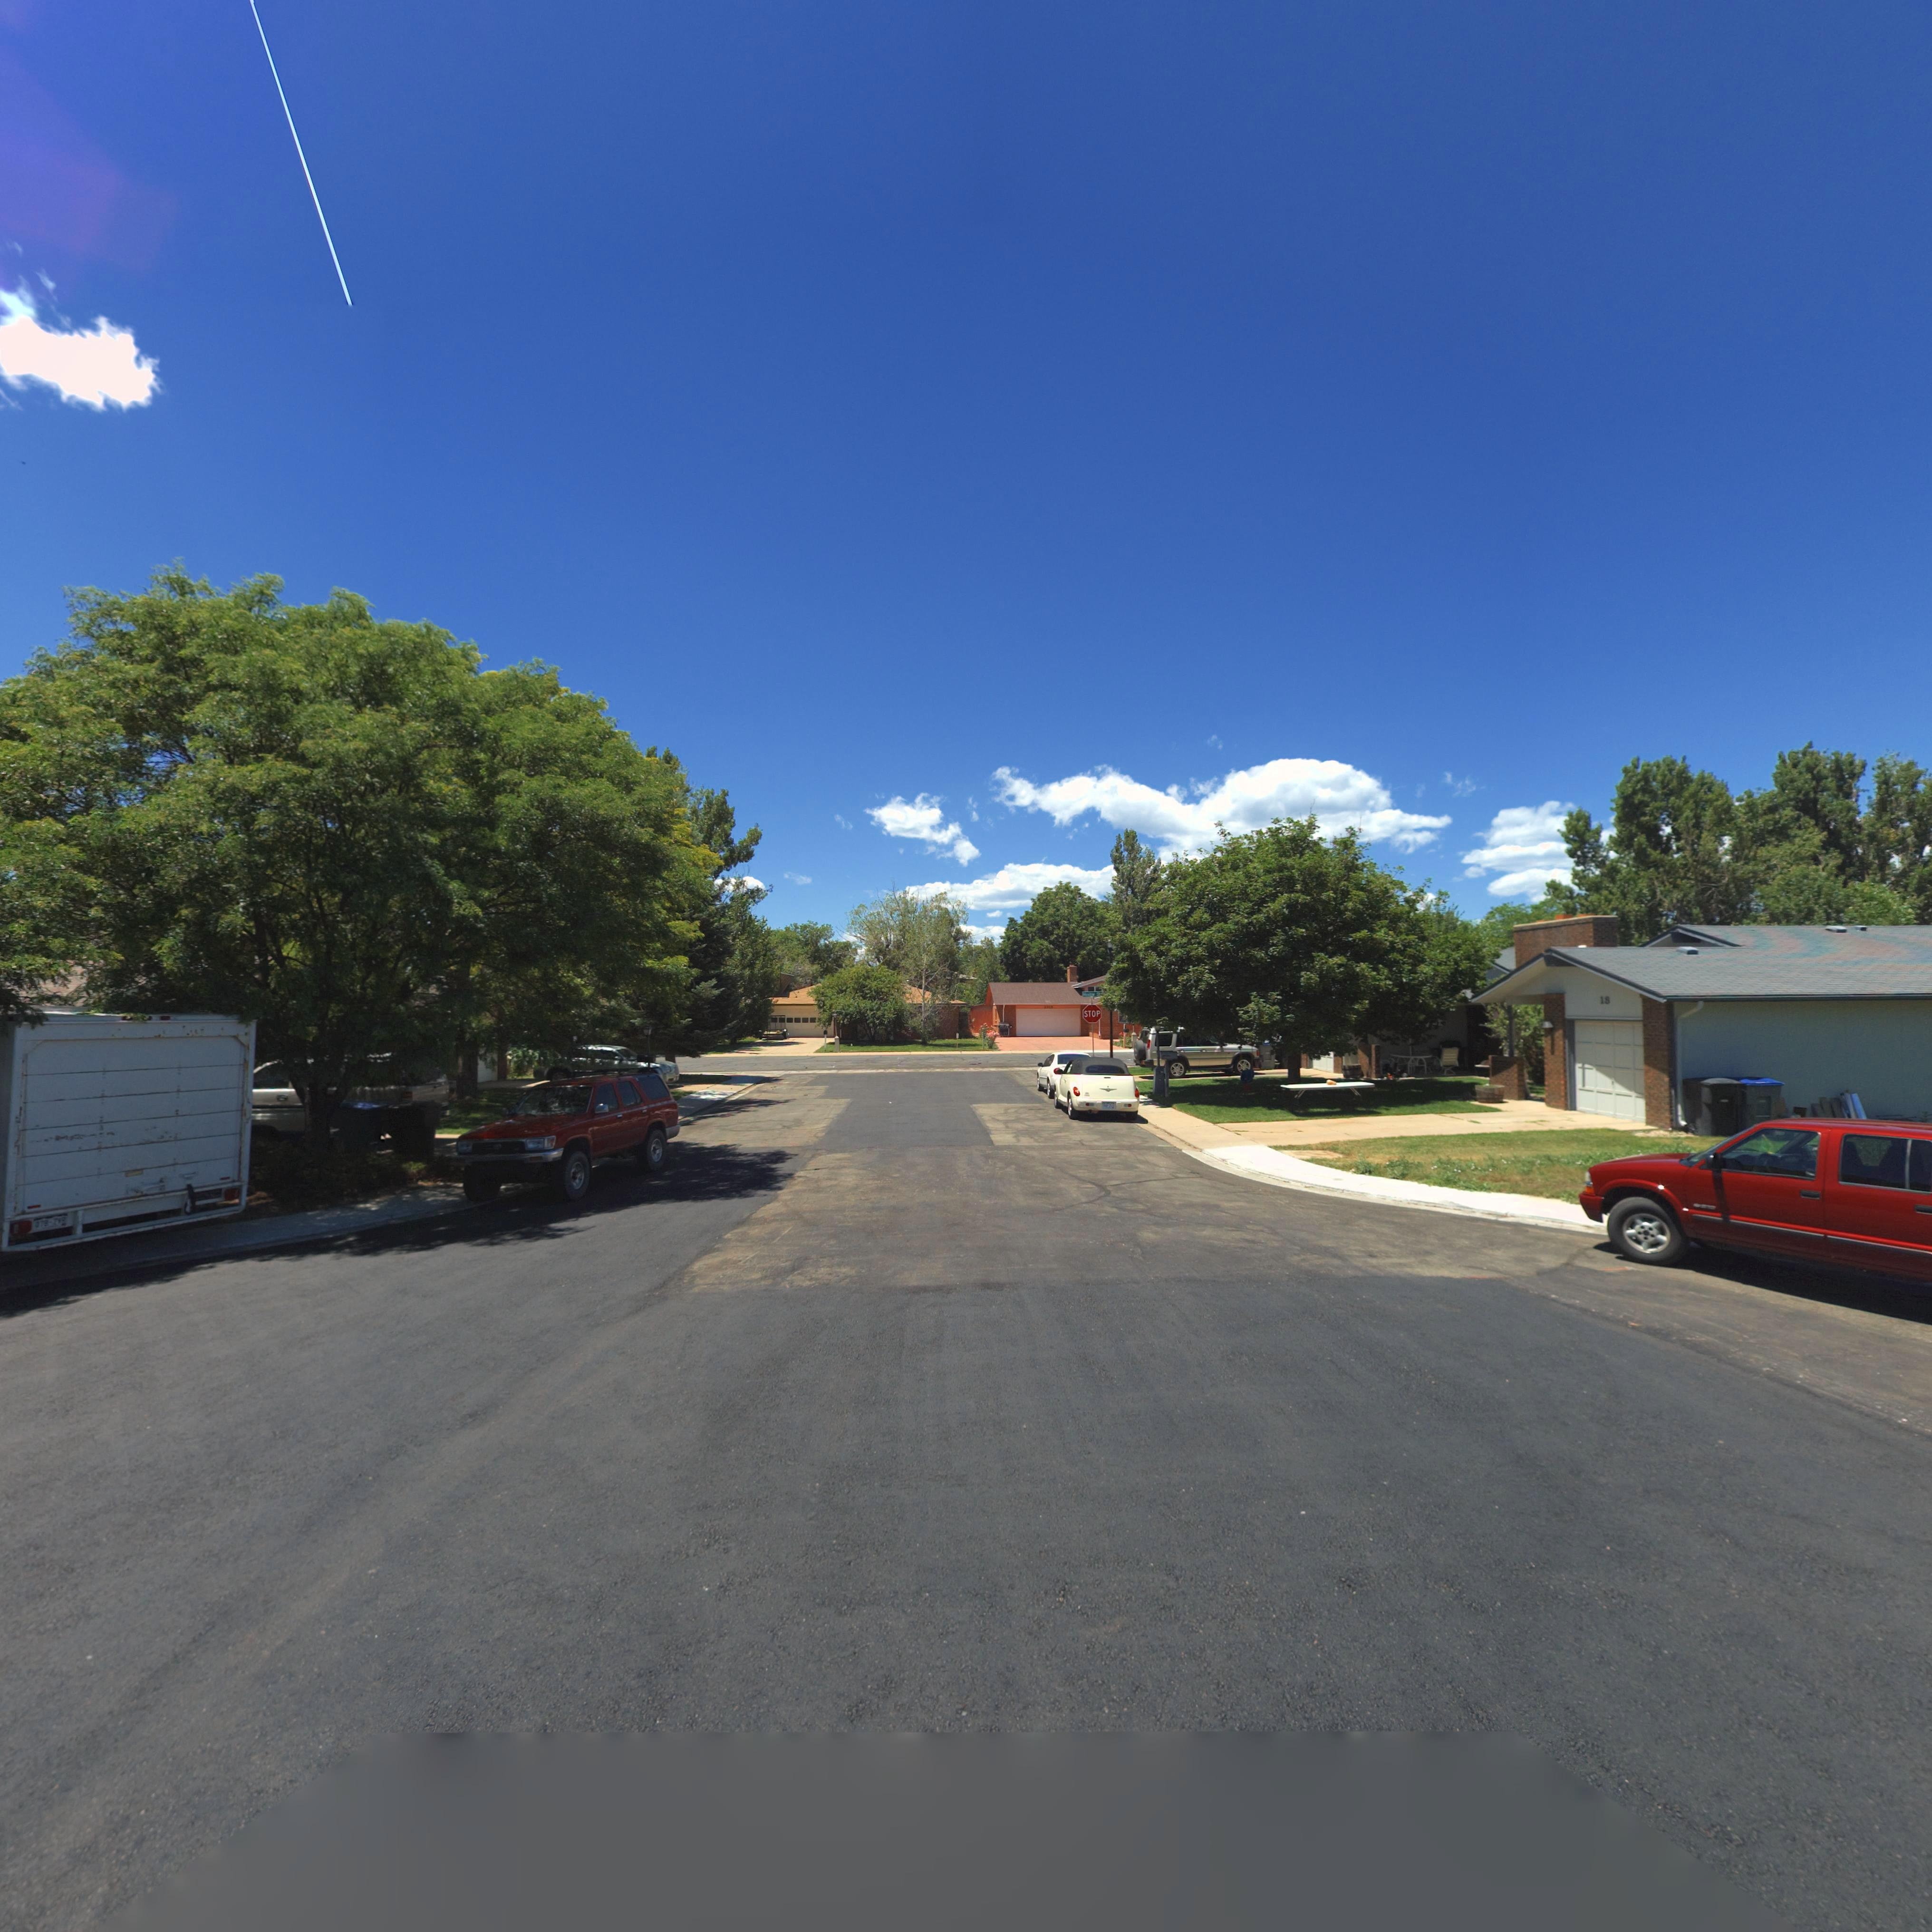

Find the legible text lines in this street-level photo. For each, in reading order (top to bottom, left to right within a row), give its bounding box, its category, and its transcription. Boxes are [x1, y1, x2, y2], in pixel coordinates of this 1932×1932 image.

[1082, 992, 1101, 996] StreetName: Meadow St
[1600, 995, 1611, 1005] StreetNumber: 18
[1043, 1005, 1053, 1008] StreetNumber: 2315